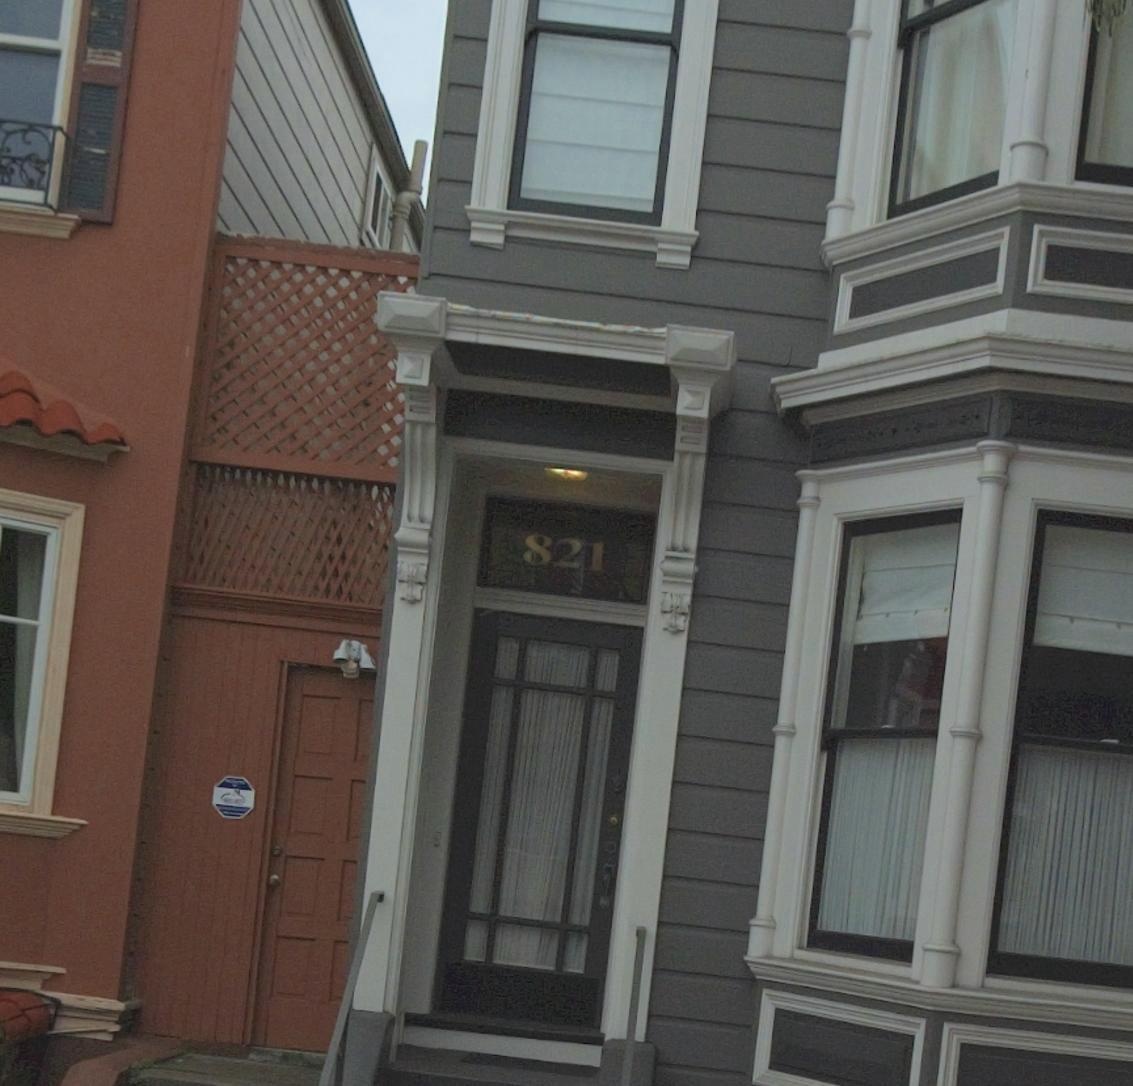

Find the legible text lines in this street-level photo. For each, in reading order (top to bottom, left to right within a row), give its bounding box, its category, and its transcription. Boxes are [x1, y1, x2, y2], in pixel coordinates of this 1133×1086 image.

[518, 530, 608, 575] StreetNumber: 821